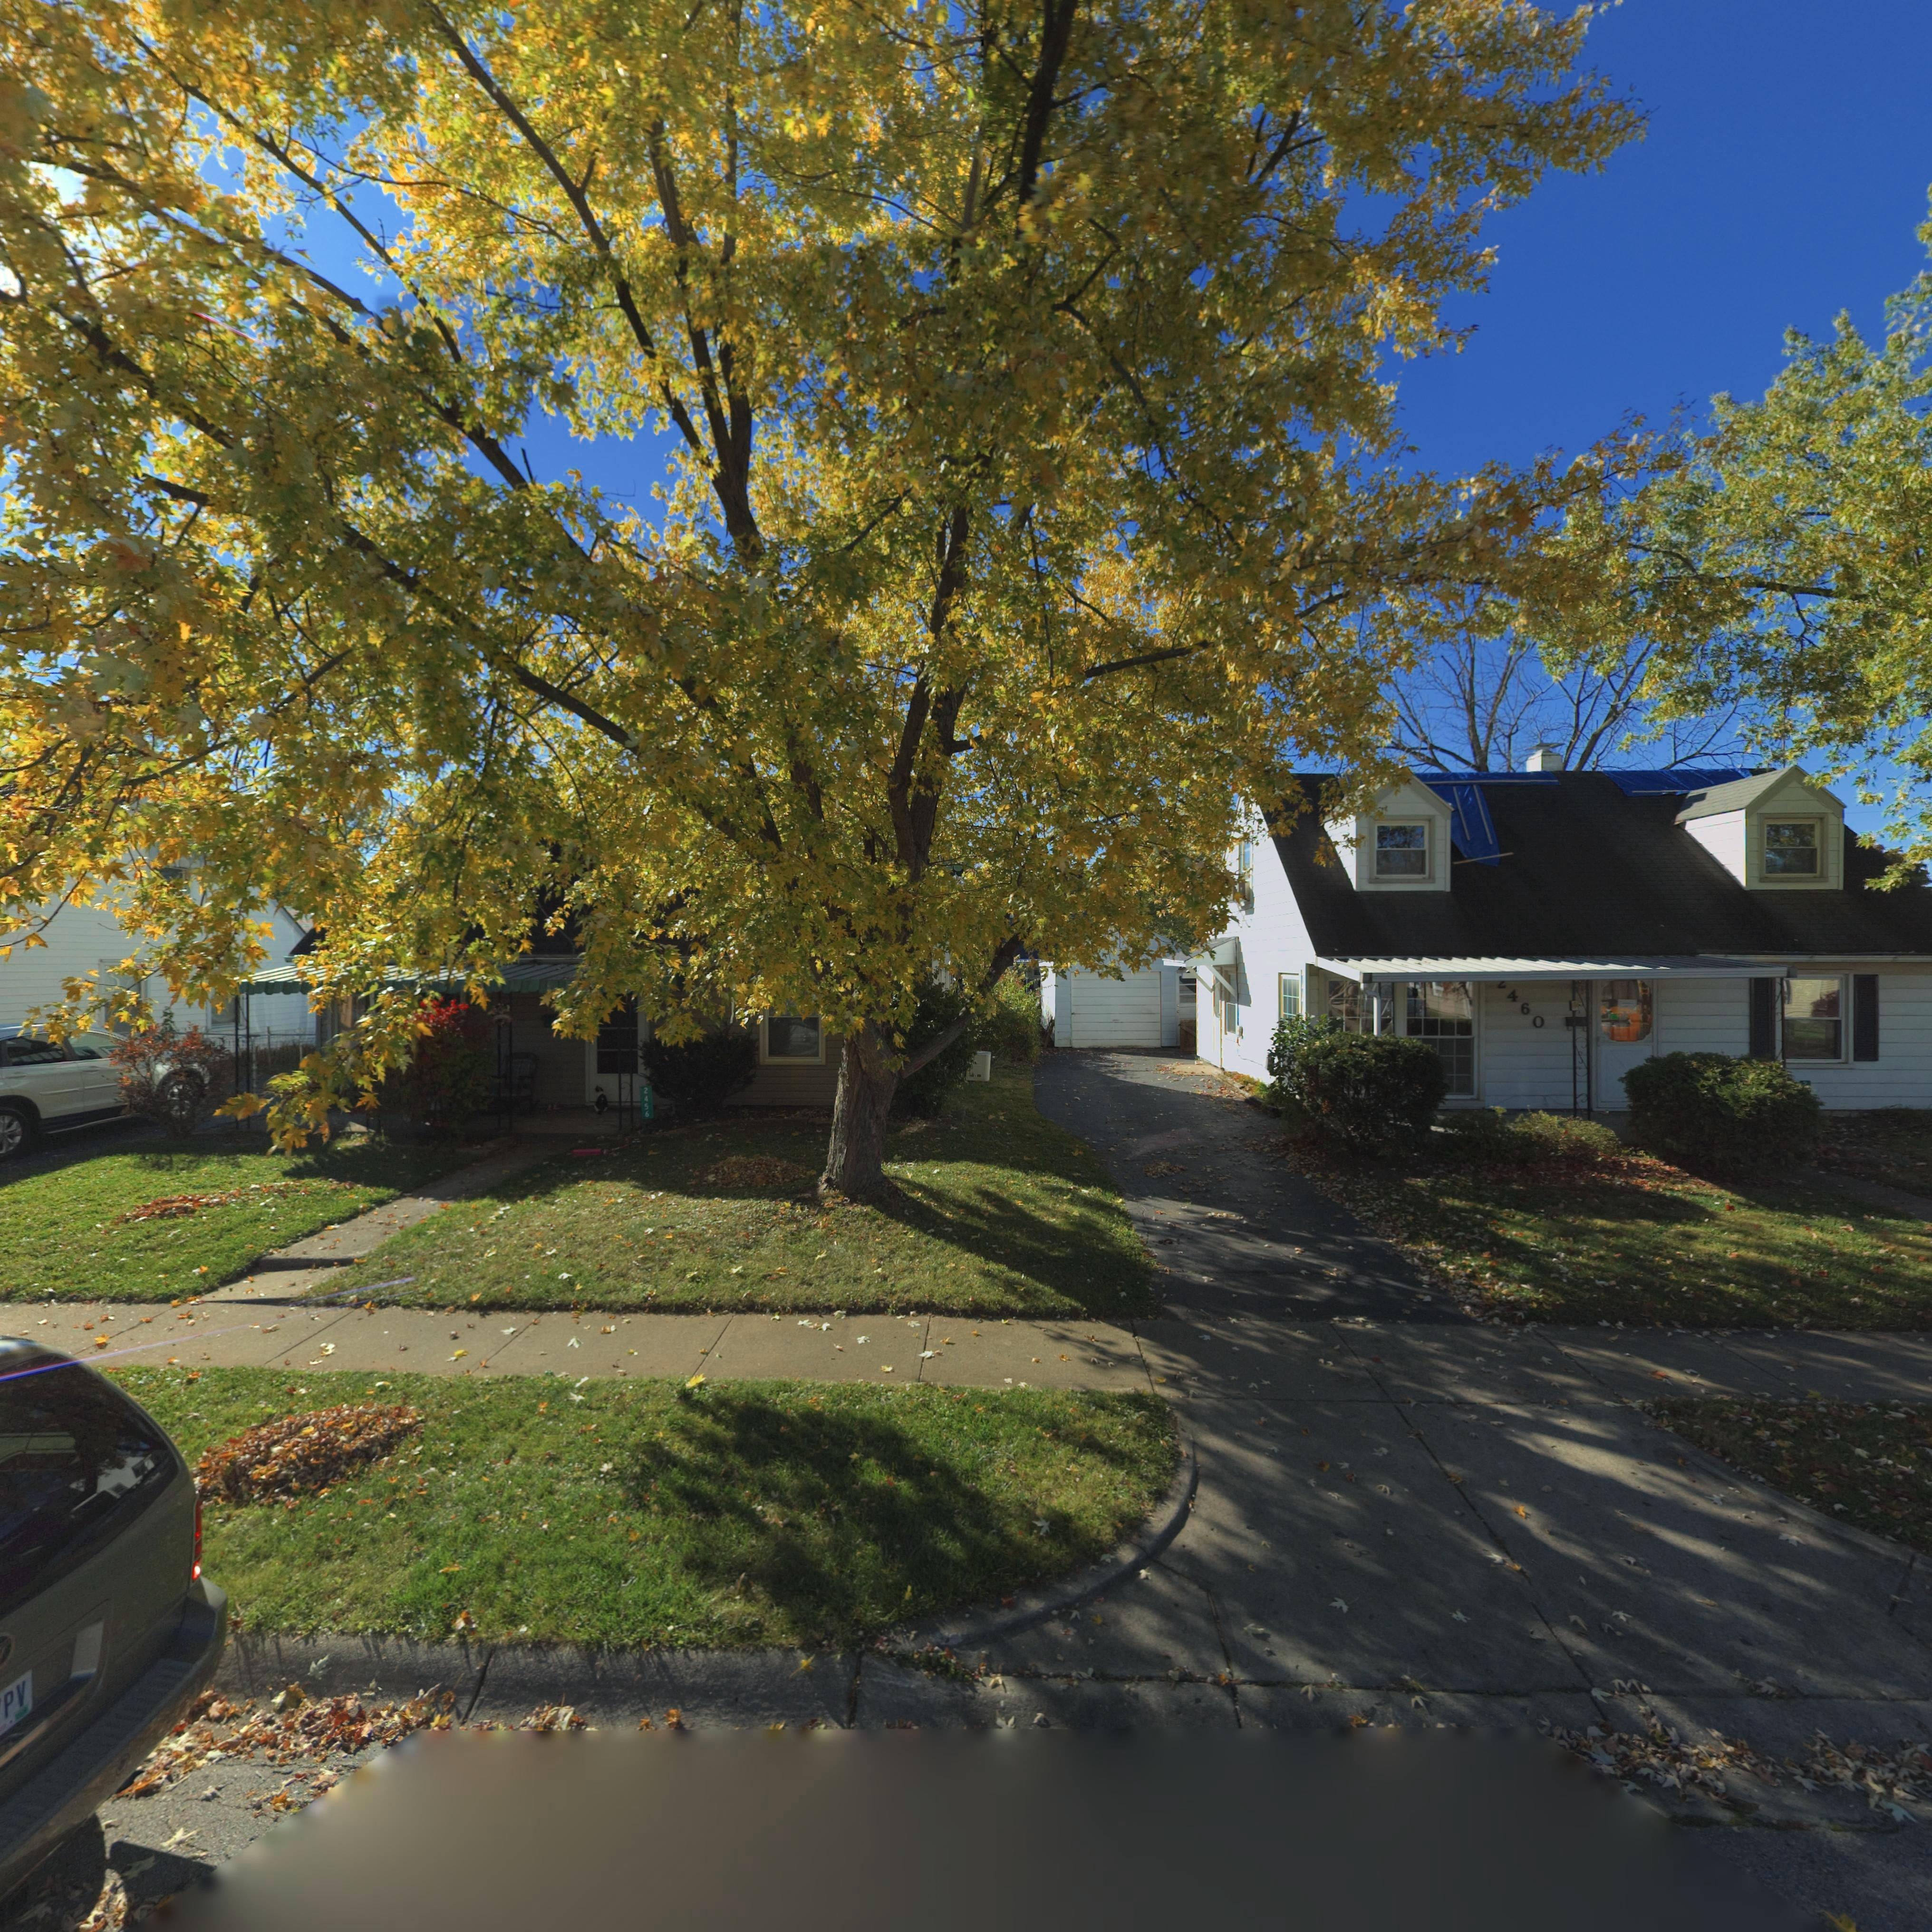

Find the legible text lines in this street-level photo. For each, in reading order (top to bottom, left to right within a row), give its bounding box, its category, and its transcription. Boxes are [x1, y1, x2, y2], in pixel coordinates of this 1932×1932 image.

[1505, 987, 1546, 1030] StreetNumber: 460
[642, 1086, 651, 1119] StreetNumber: 2456